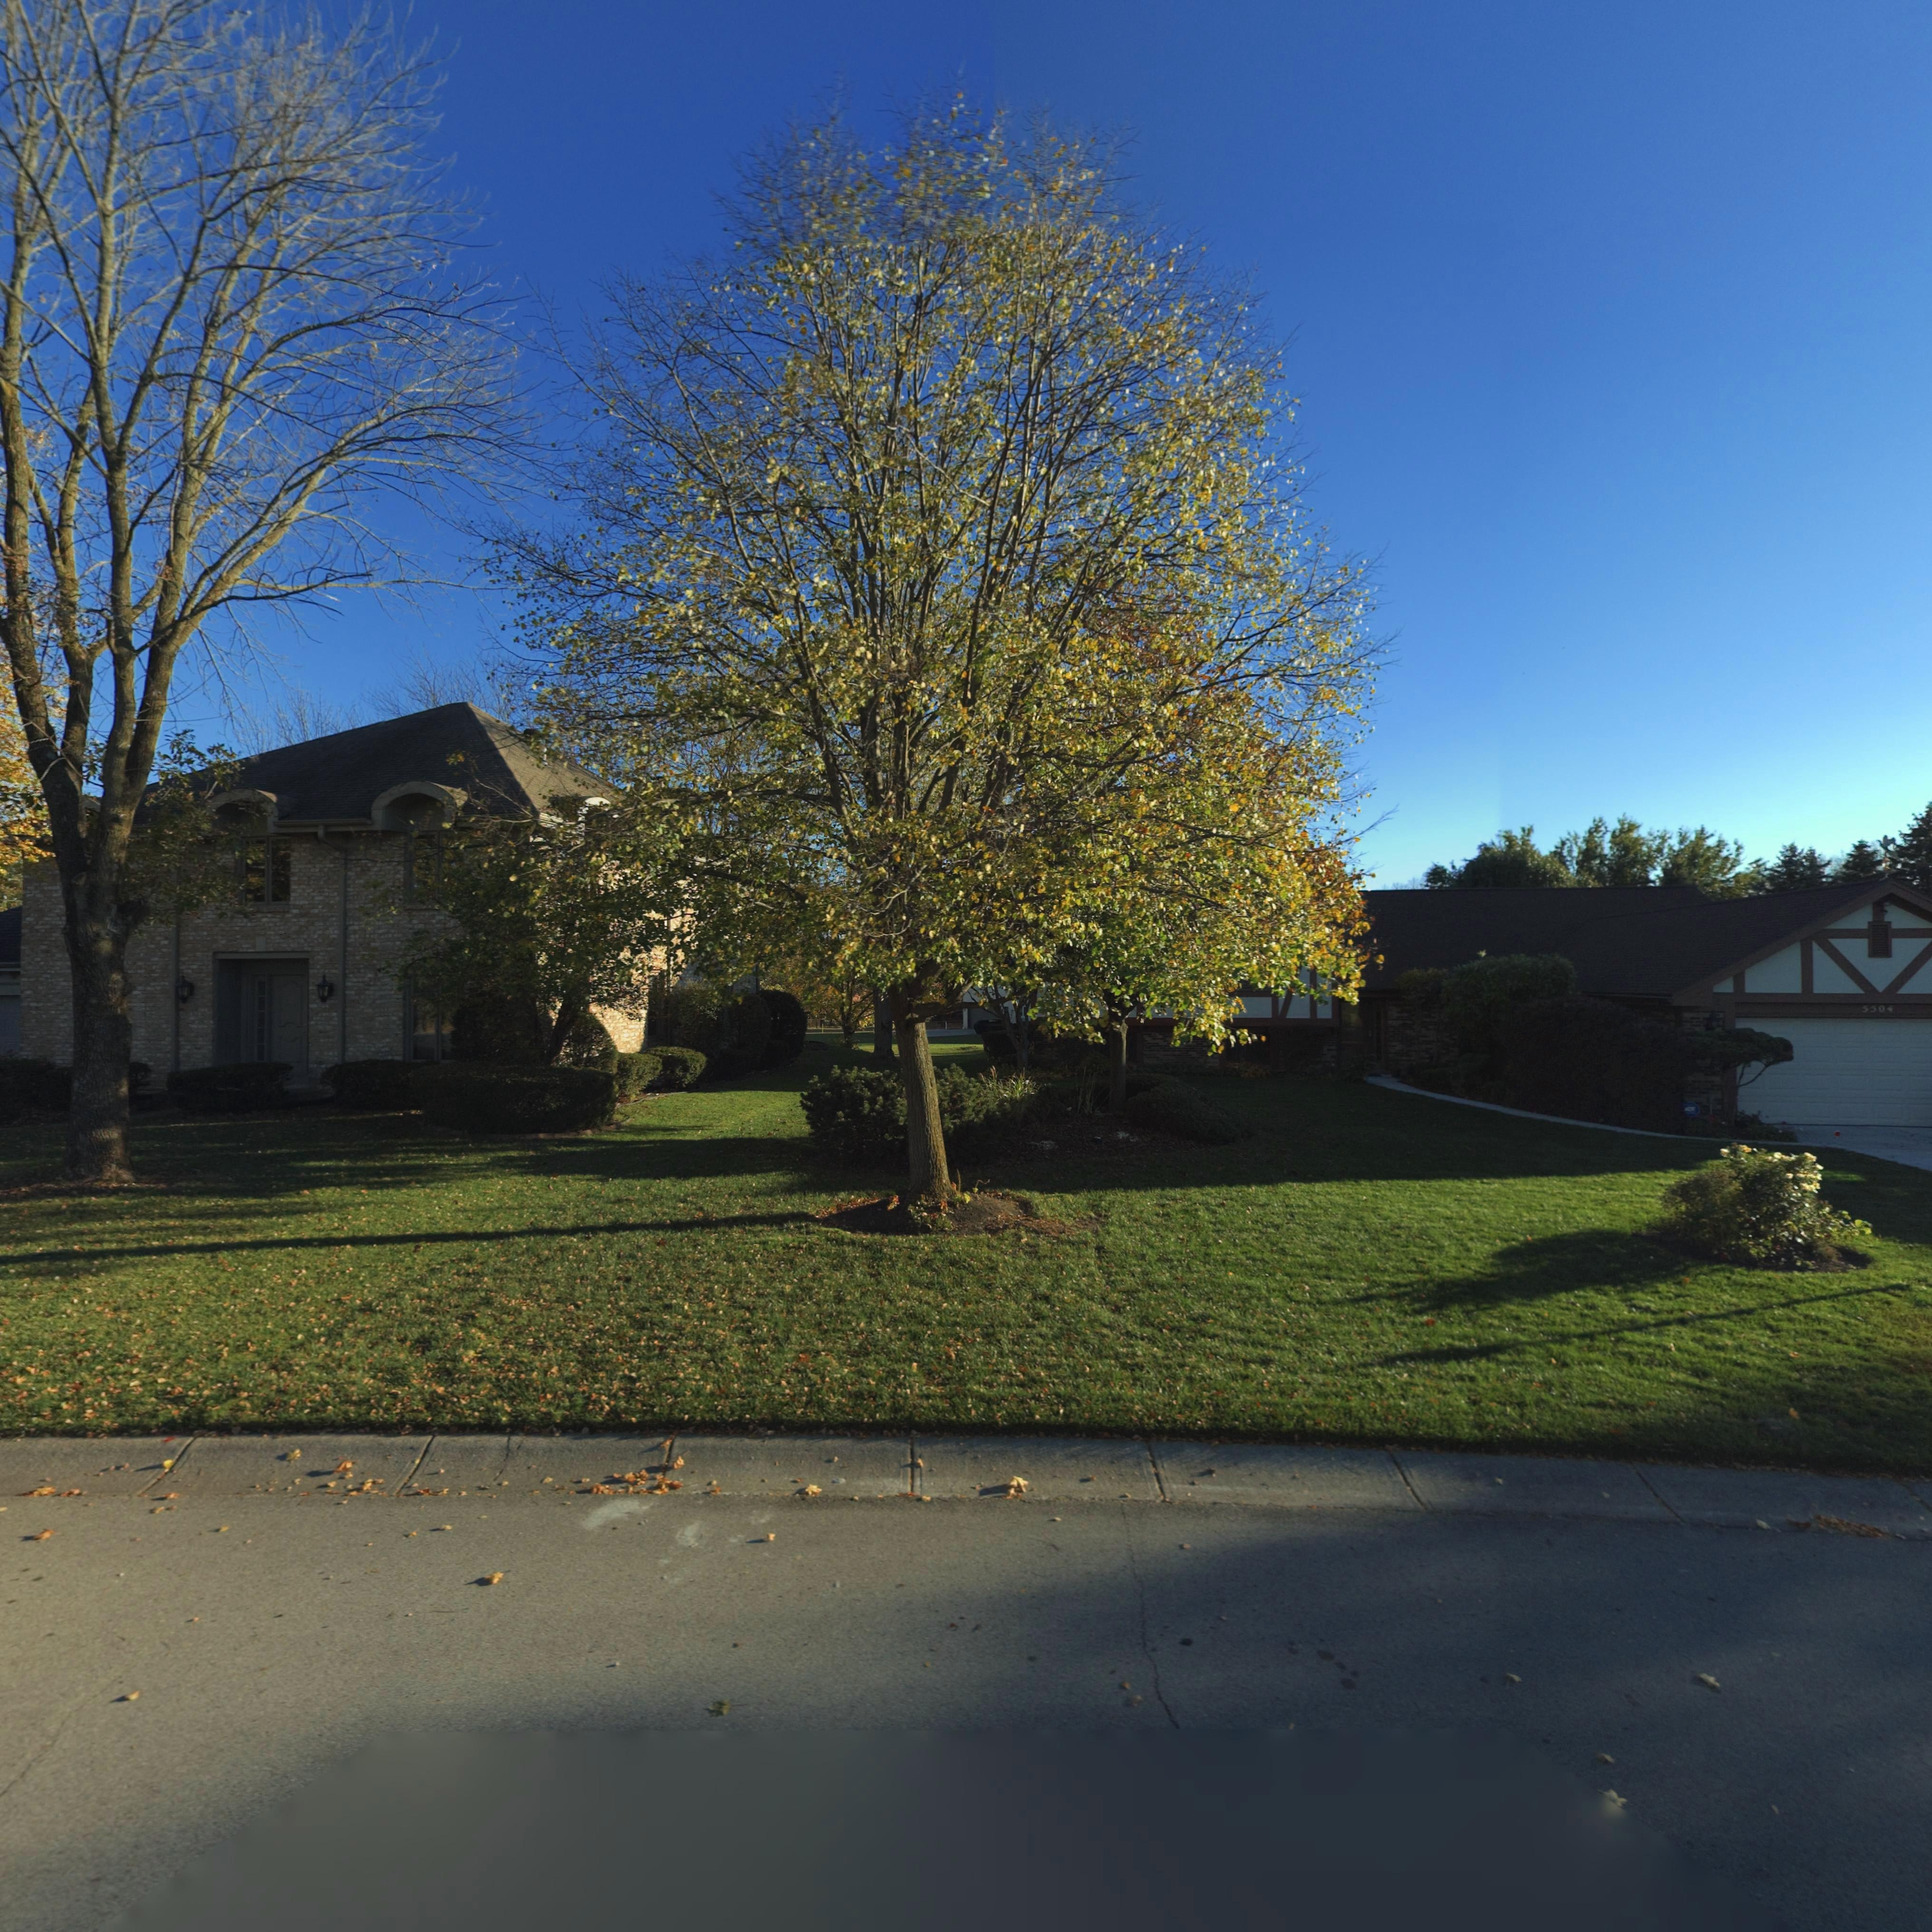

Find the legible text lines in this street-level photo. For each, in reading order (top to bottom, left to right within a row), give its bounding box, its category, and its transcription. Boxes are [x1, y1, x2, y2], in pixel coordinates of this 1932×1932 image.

[1860, 1004, 1893, 1014] StreetNumber: 5504